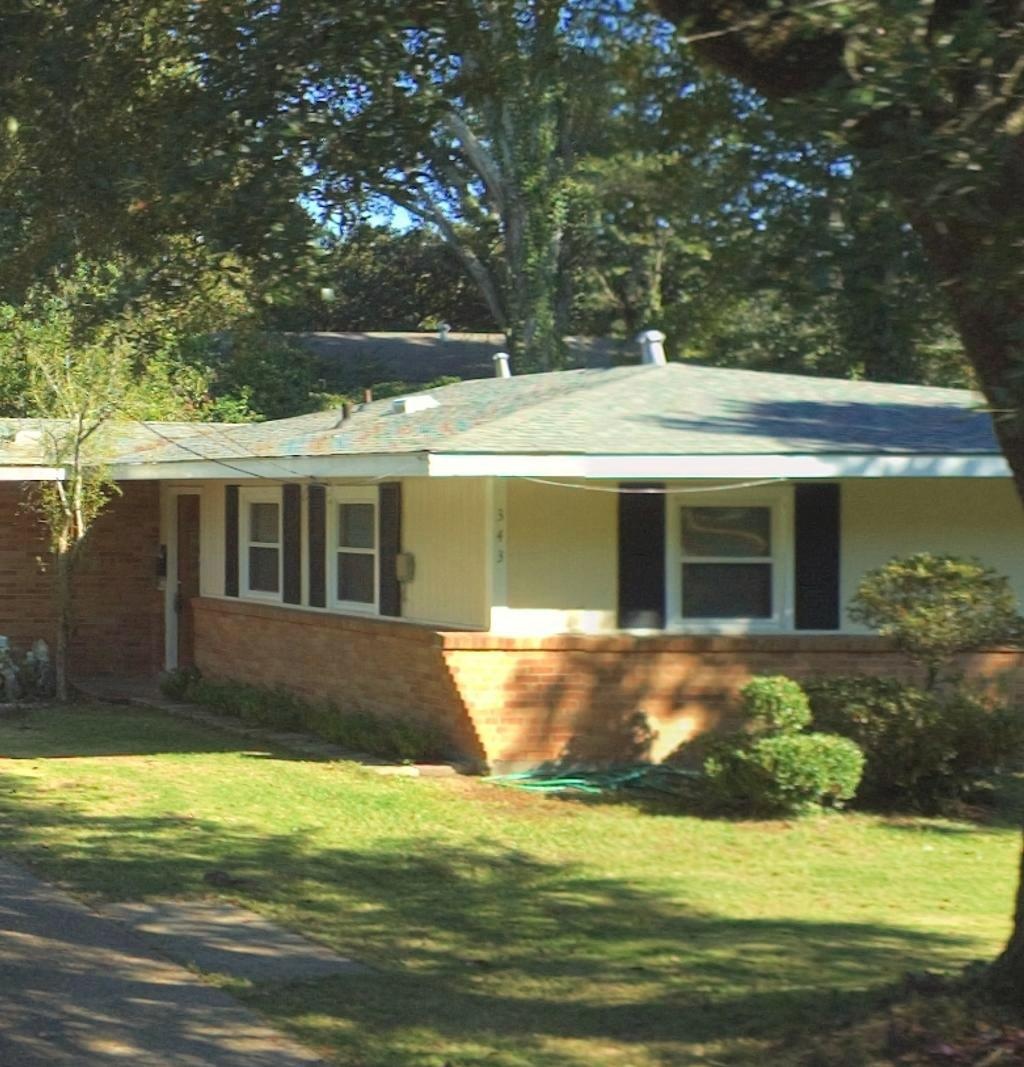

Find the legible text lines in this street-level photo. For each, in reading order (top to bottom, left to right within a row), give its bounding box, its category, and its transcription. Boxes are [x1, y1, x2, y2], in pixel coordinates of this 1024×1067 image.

[494, 507, 506, 565] StreetNumber: 343